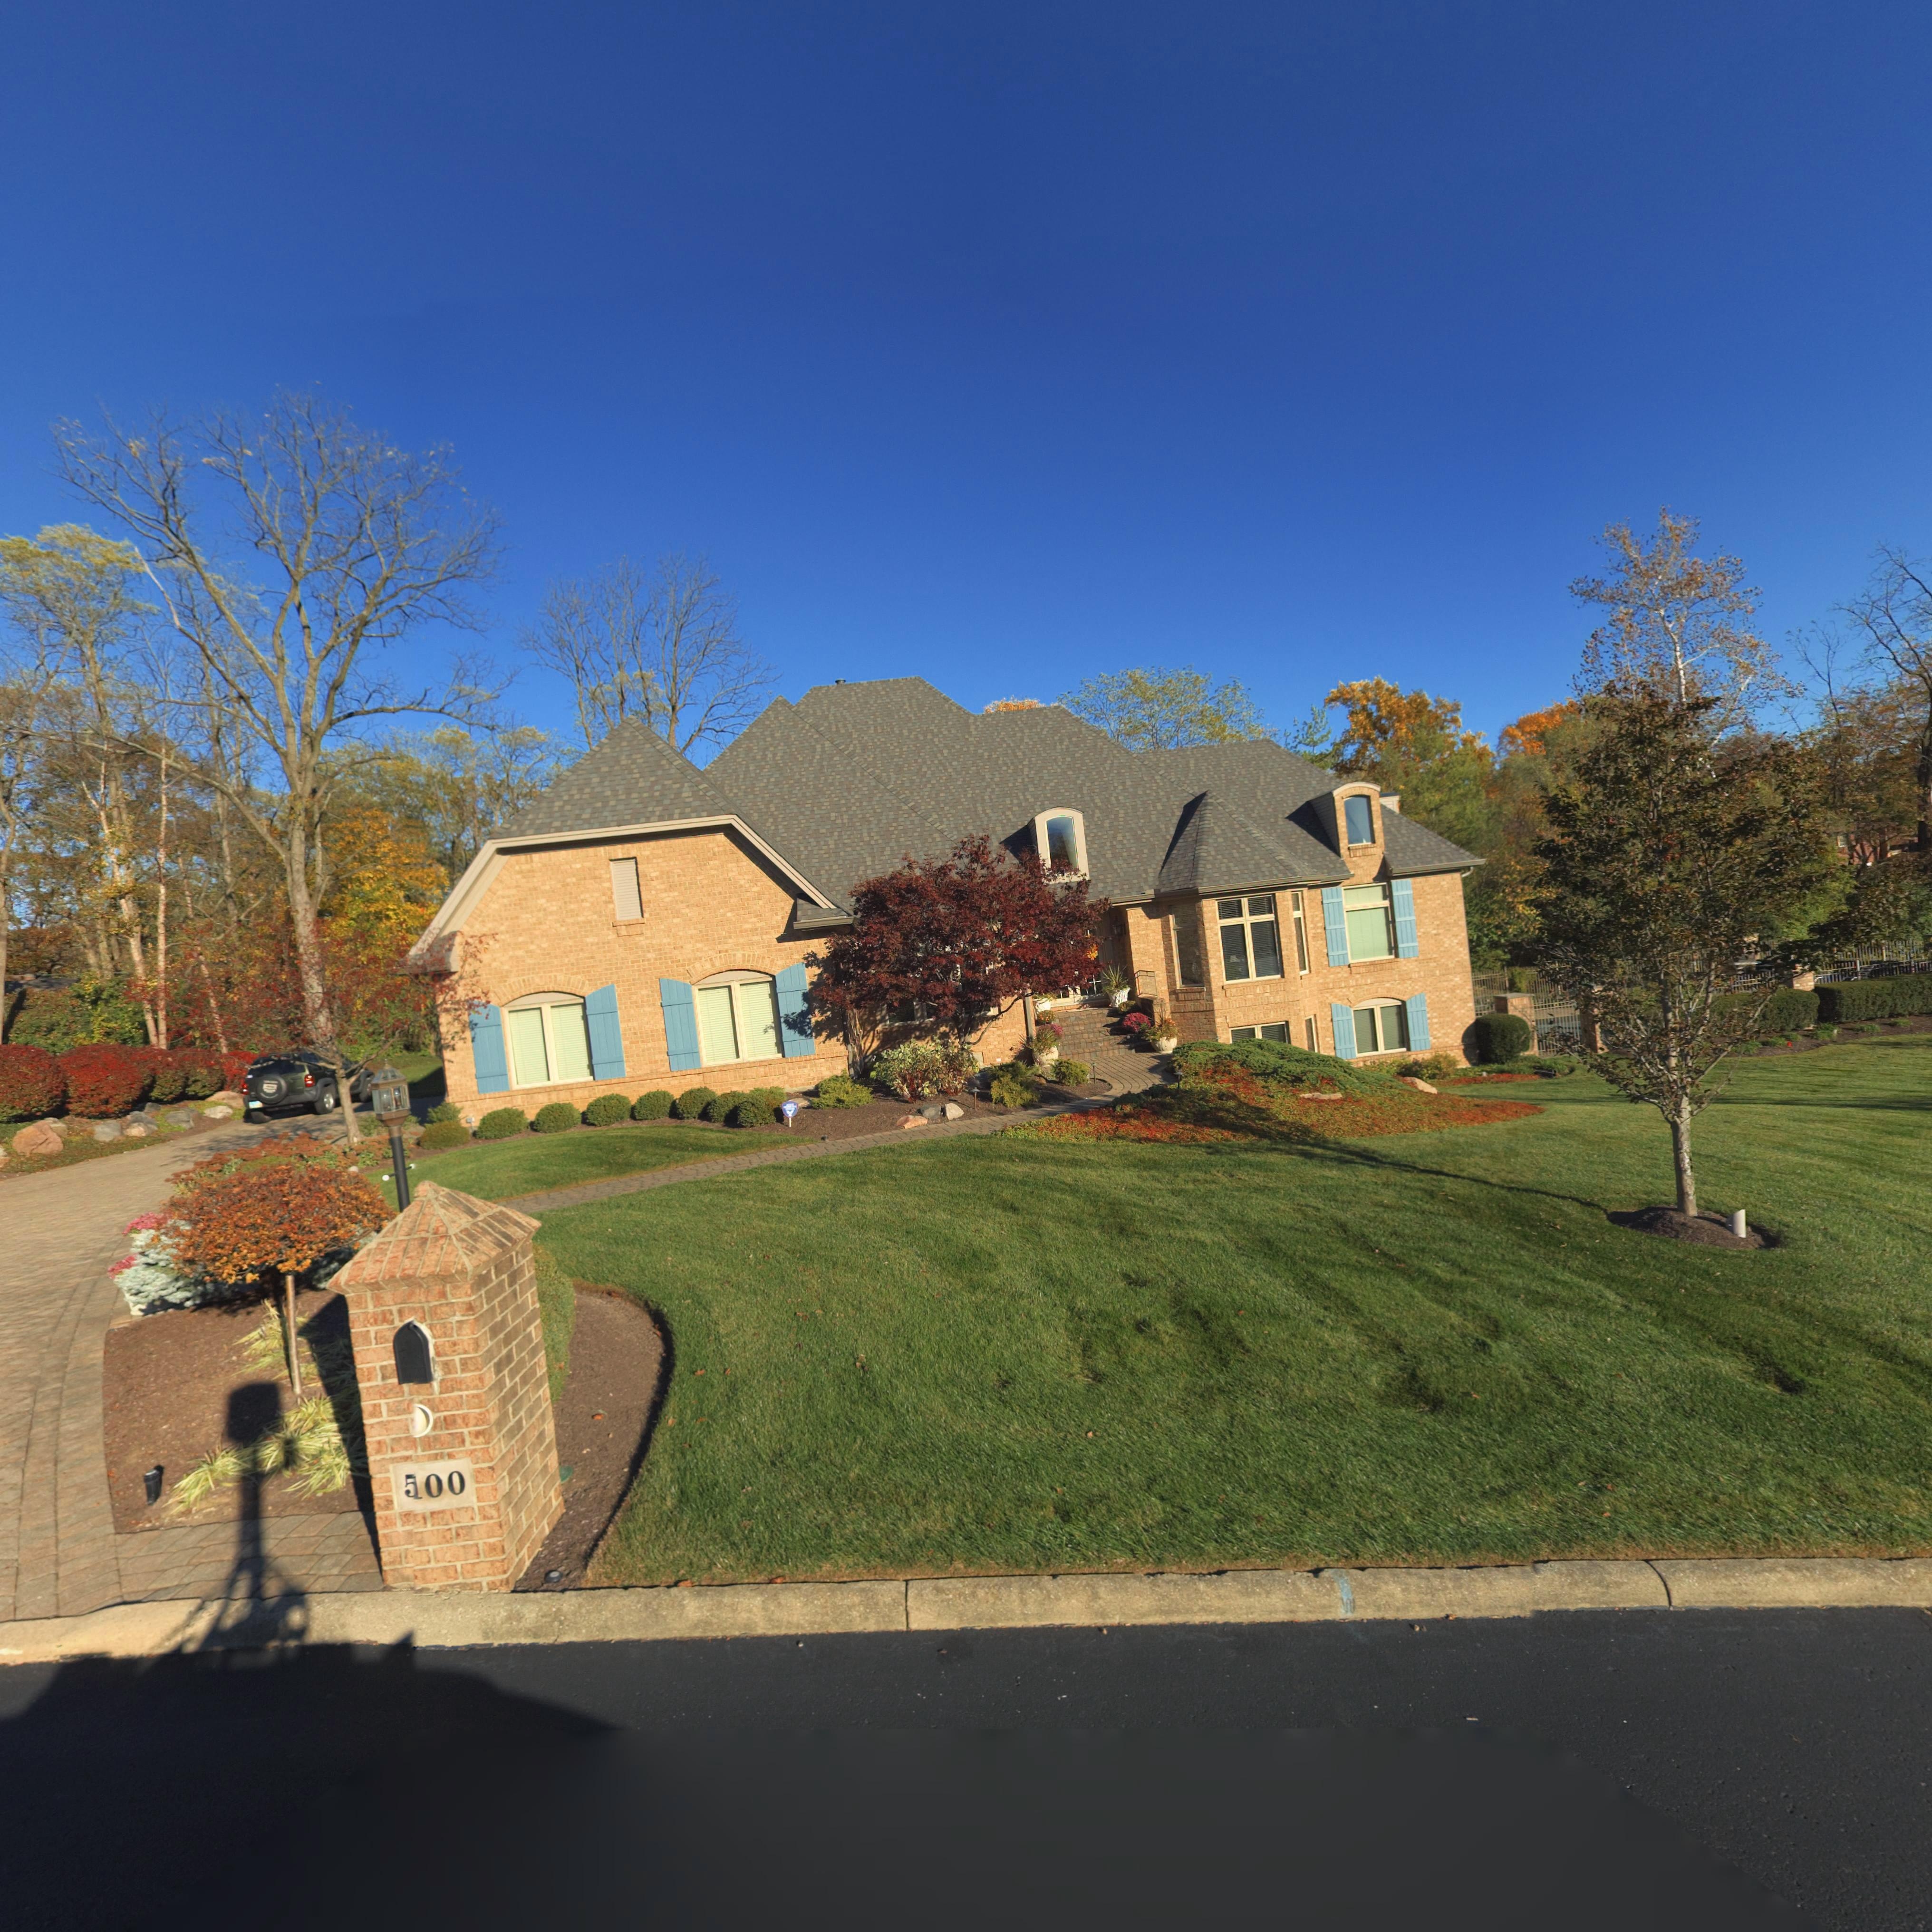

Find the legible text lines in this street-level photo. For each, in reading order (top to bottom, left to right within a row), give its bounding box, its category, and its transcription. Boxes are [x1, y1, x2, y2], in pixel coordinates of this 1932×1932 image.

[421, 1467, 468, 1502] StreetNumber: 00